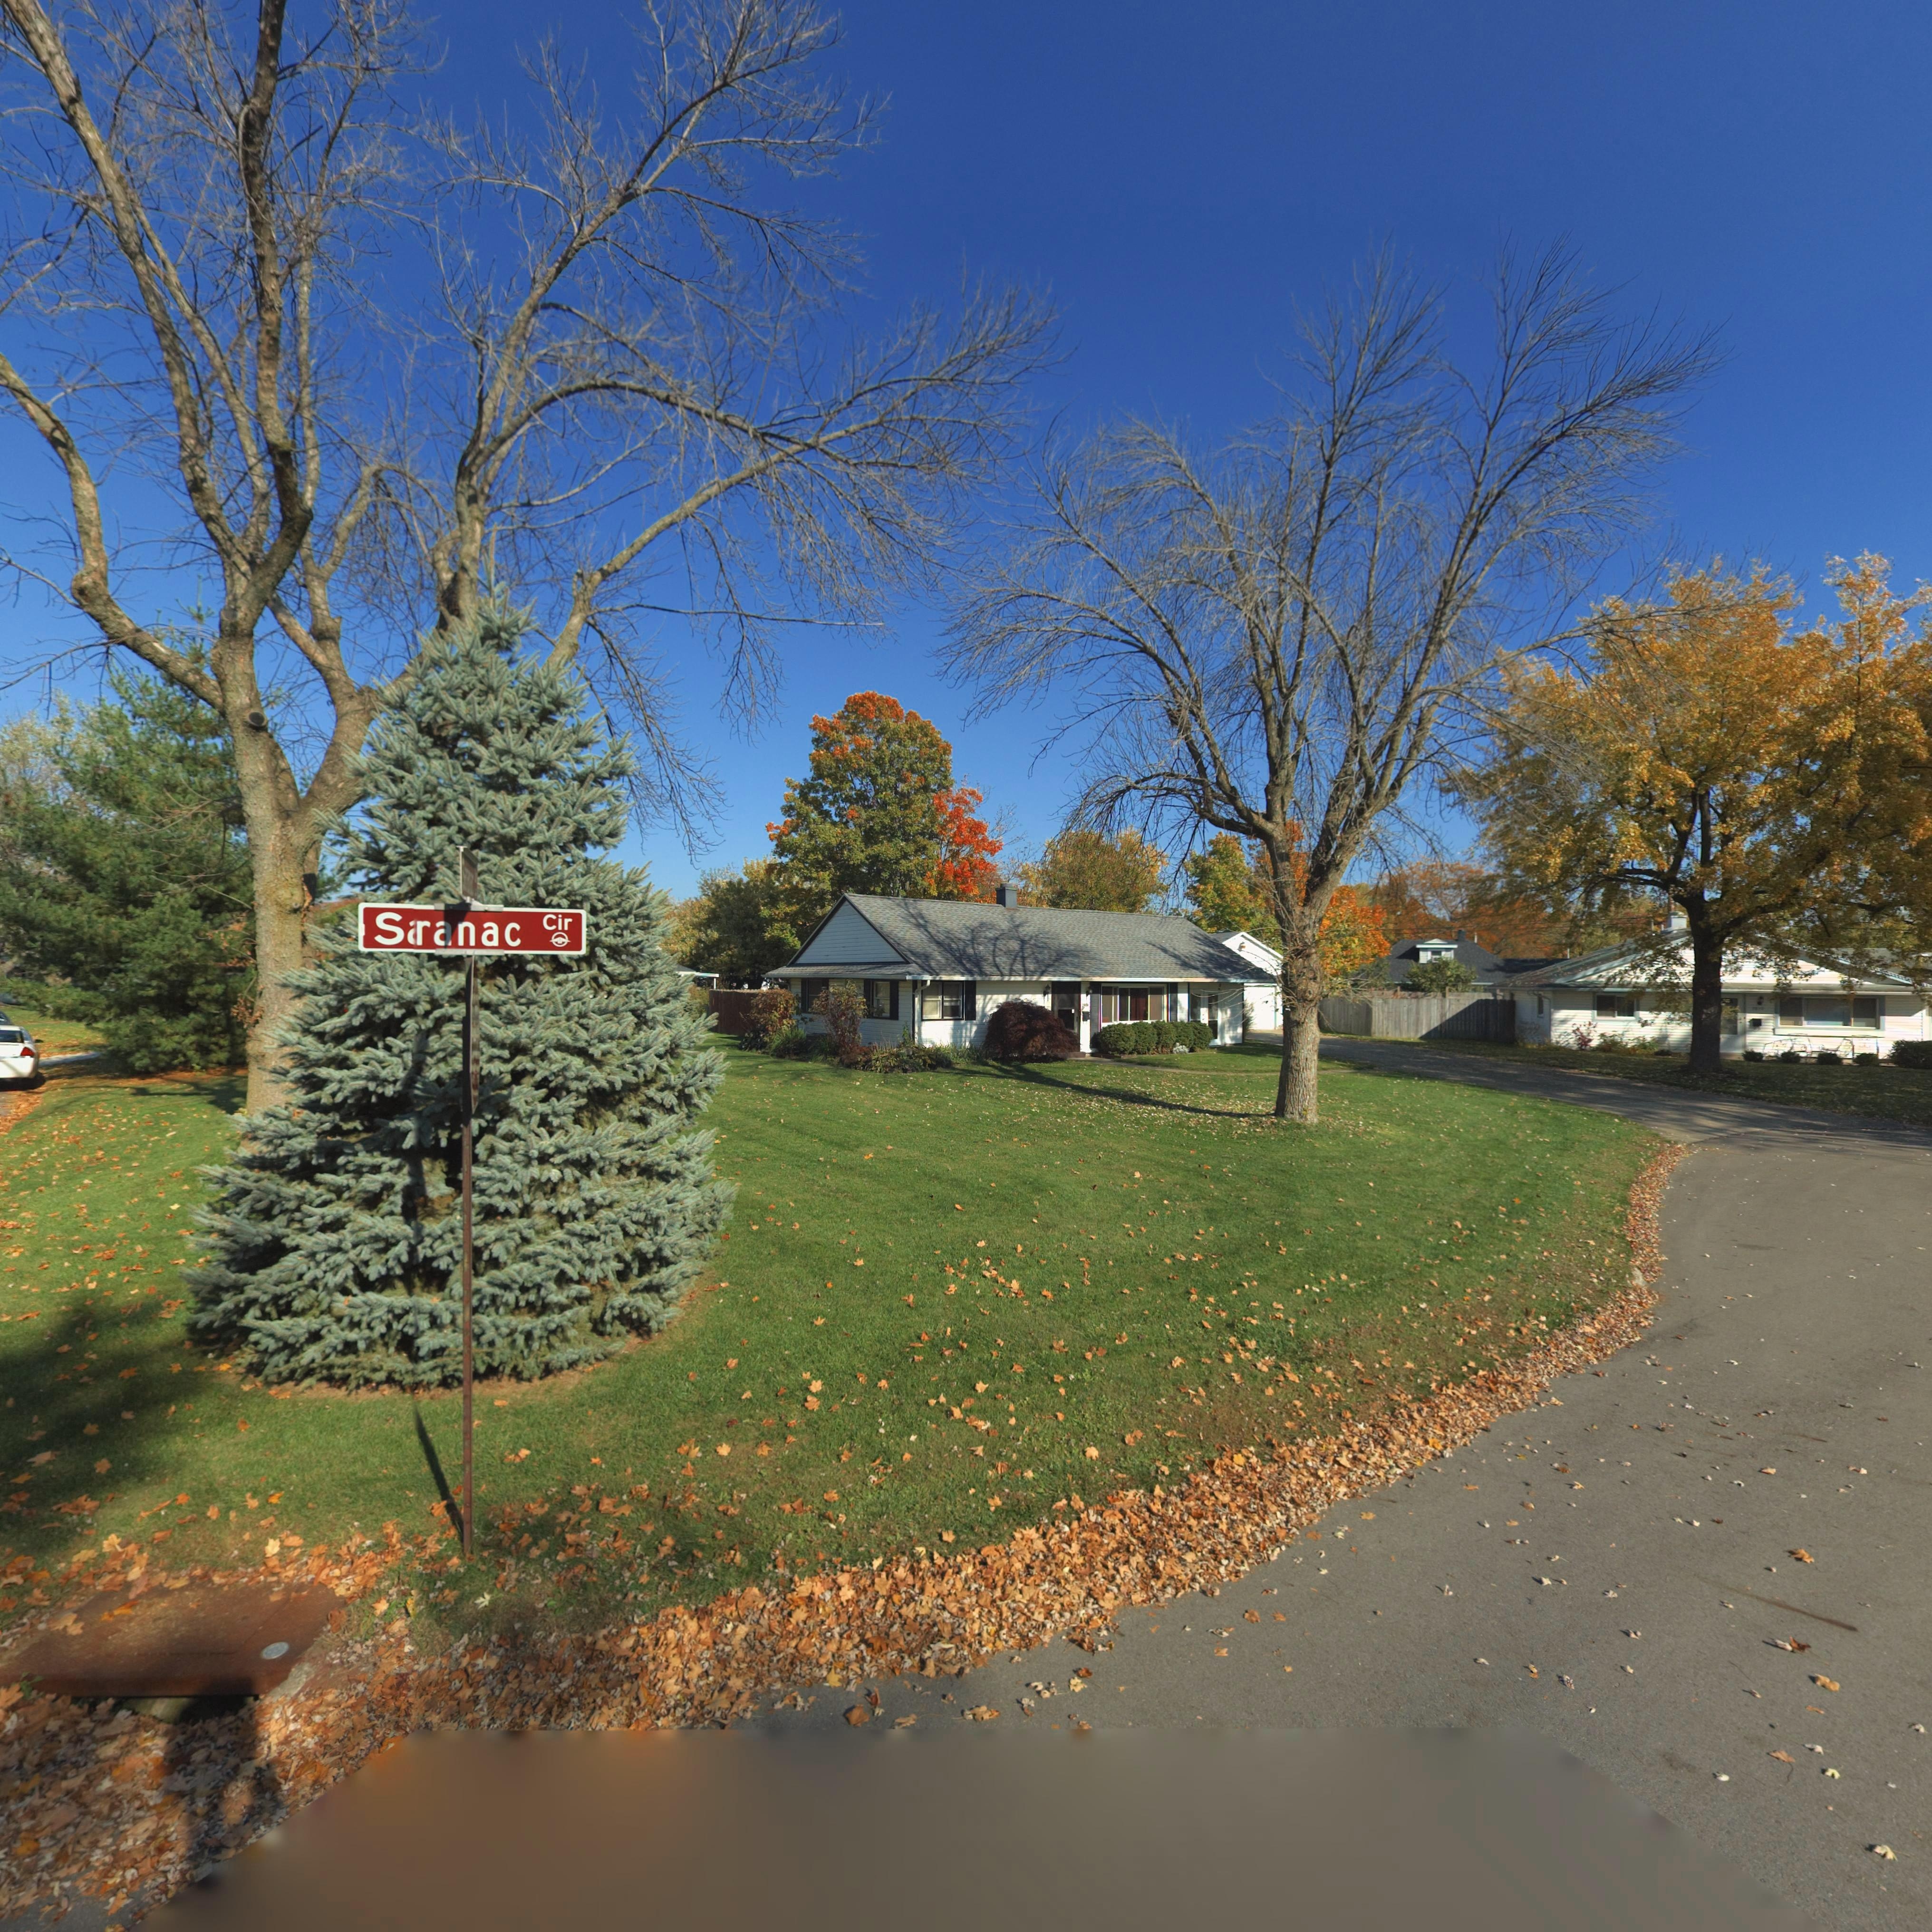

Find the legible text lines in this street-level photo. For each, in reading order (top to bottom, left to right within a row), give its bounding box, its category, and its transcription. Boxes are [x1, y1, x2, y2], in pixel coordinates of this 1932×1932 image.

[372, 909, 575, 949] StreetName: S*ranac Cir